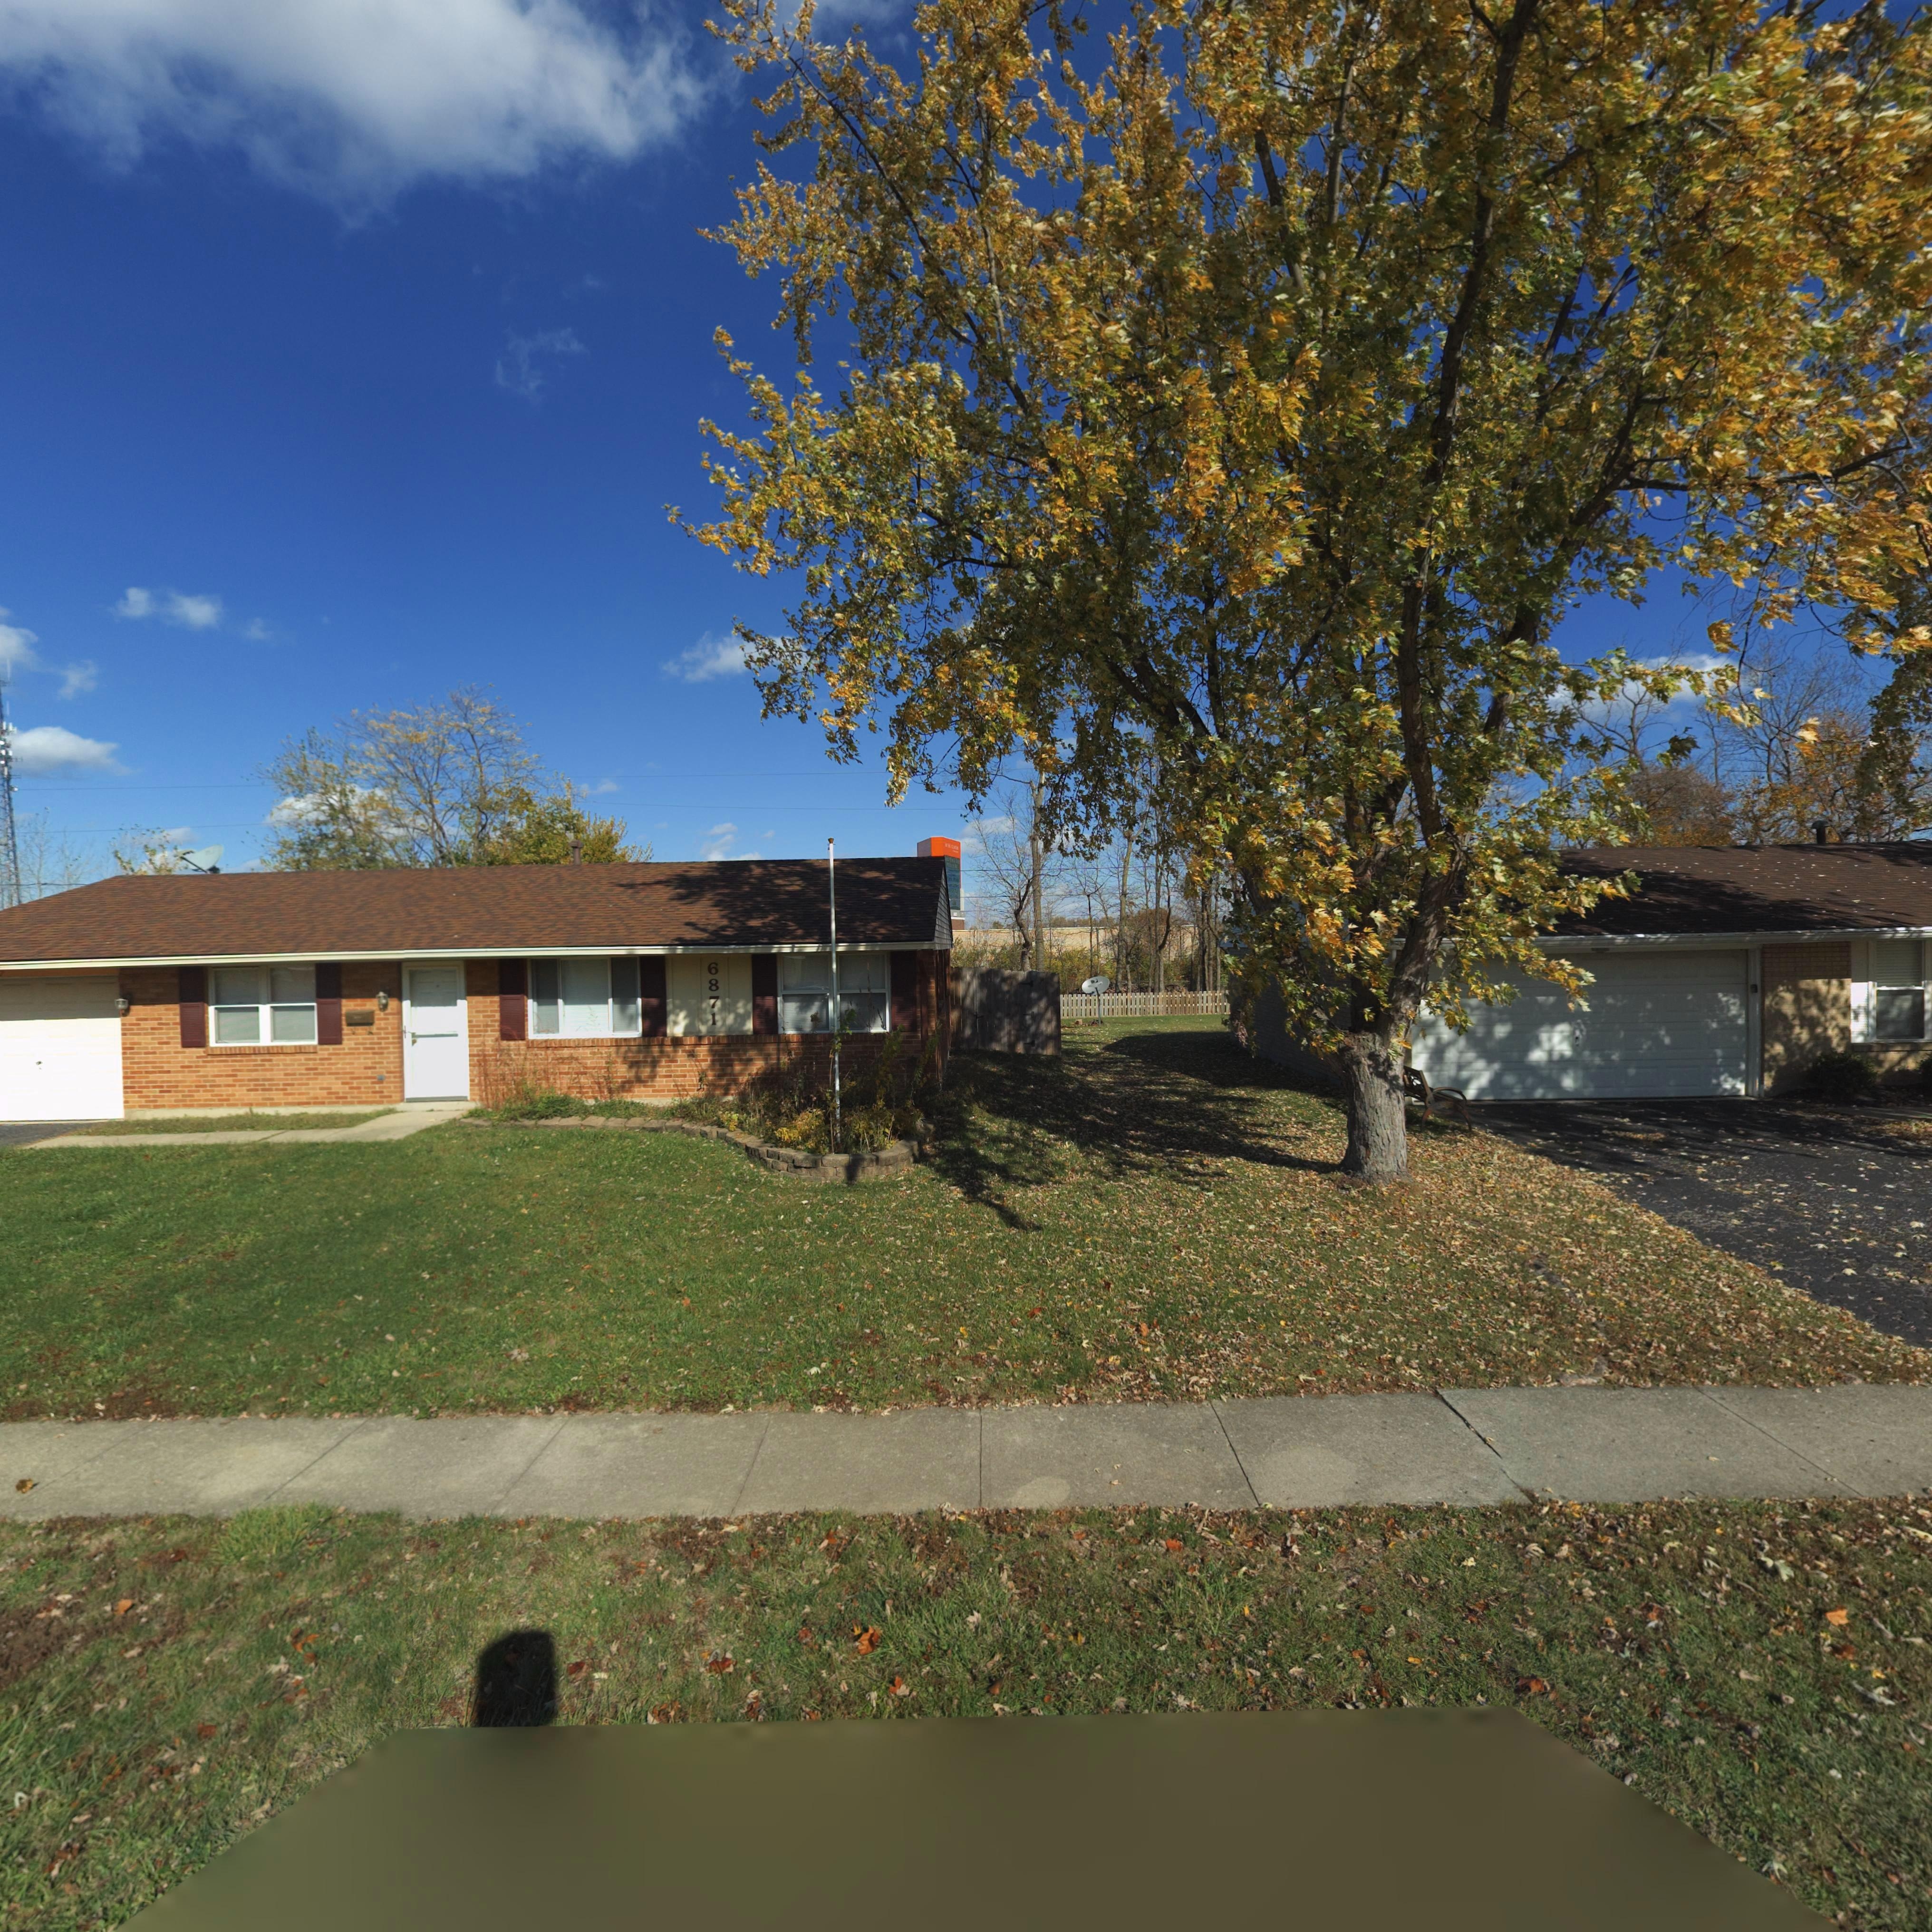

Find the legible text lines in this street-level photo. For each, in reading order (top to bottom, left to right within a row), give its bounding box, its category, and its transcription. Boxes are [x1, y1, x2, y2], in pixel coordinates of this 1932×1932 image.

[706, 961, 721, 1027] StreetNumber: 6871